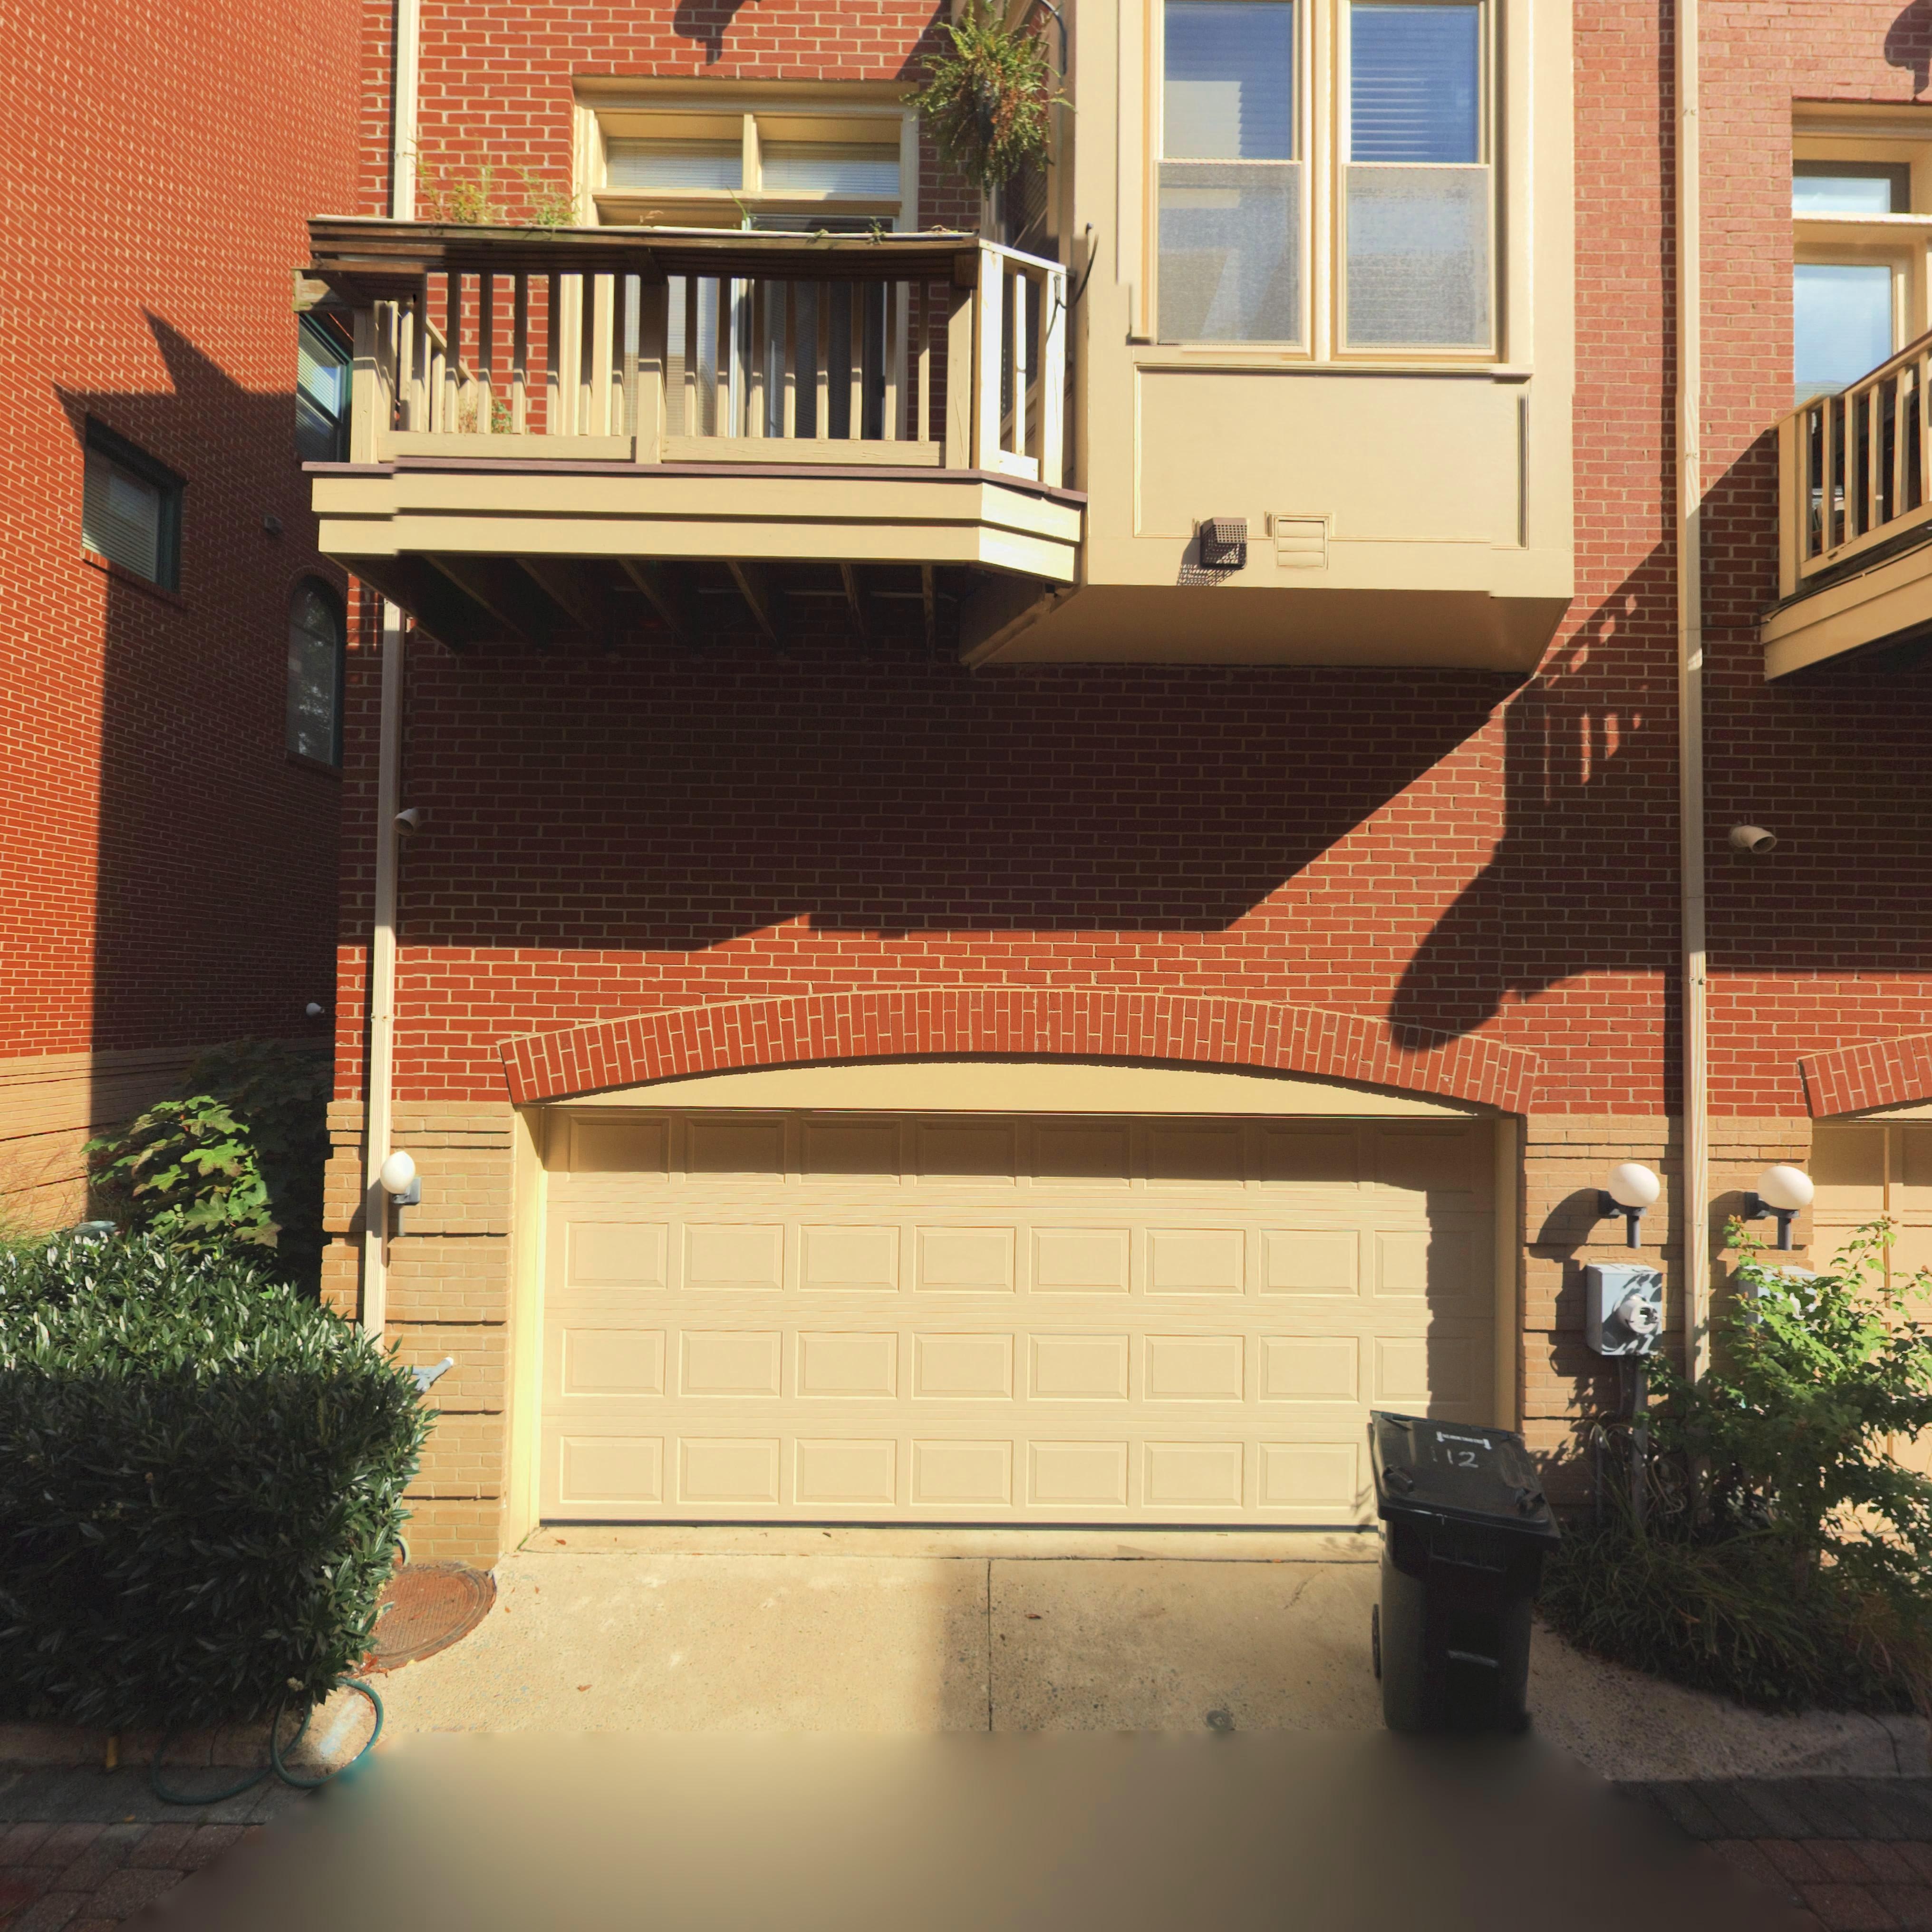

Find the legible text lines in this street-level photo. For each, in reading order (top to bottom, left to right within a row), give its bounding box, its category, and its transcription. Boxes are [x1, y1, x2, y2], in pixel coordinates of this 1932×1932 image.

[1429, 1445, 1481, 1472] StreetNumber: 112